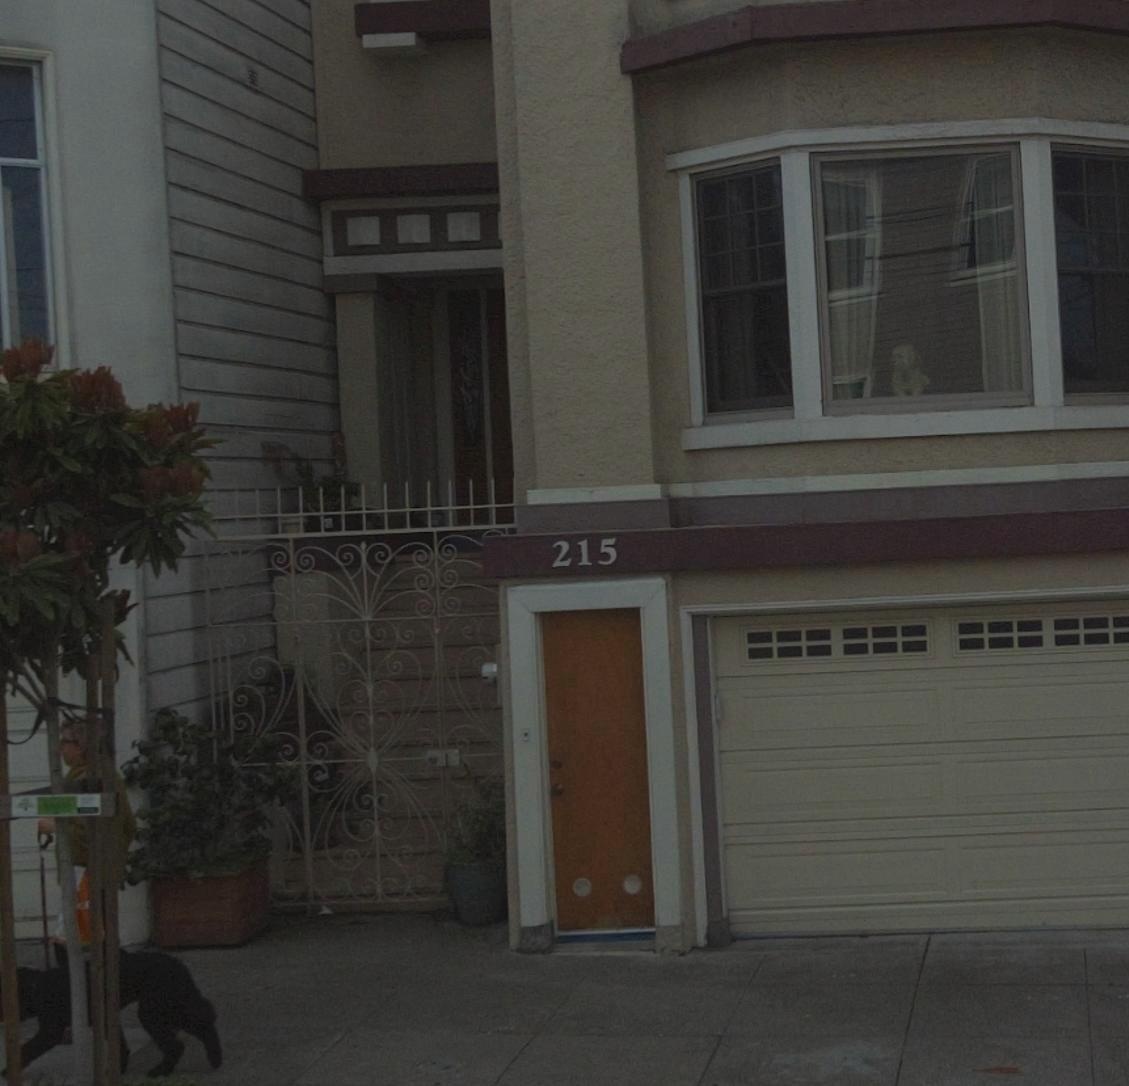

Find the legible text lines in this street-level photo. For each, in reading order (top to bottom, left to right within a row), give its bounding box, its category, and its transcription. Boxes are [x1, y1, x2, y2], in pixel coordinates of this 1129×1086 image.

[551, 536, 619, 569] StreetNumber: 215